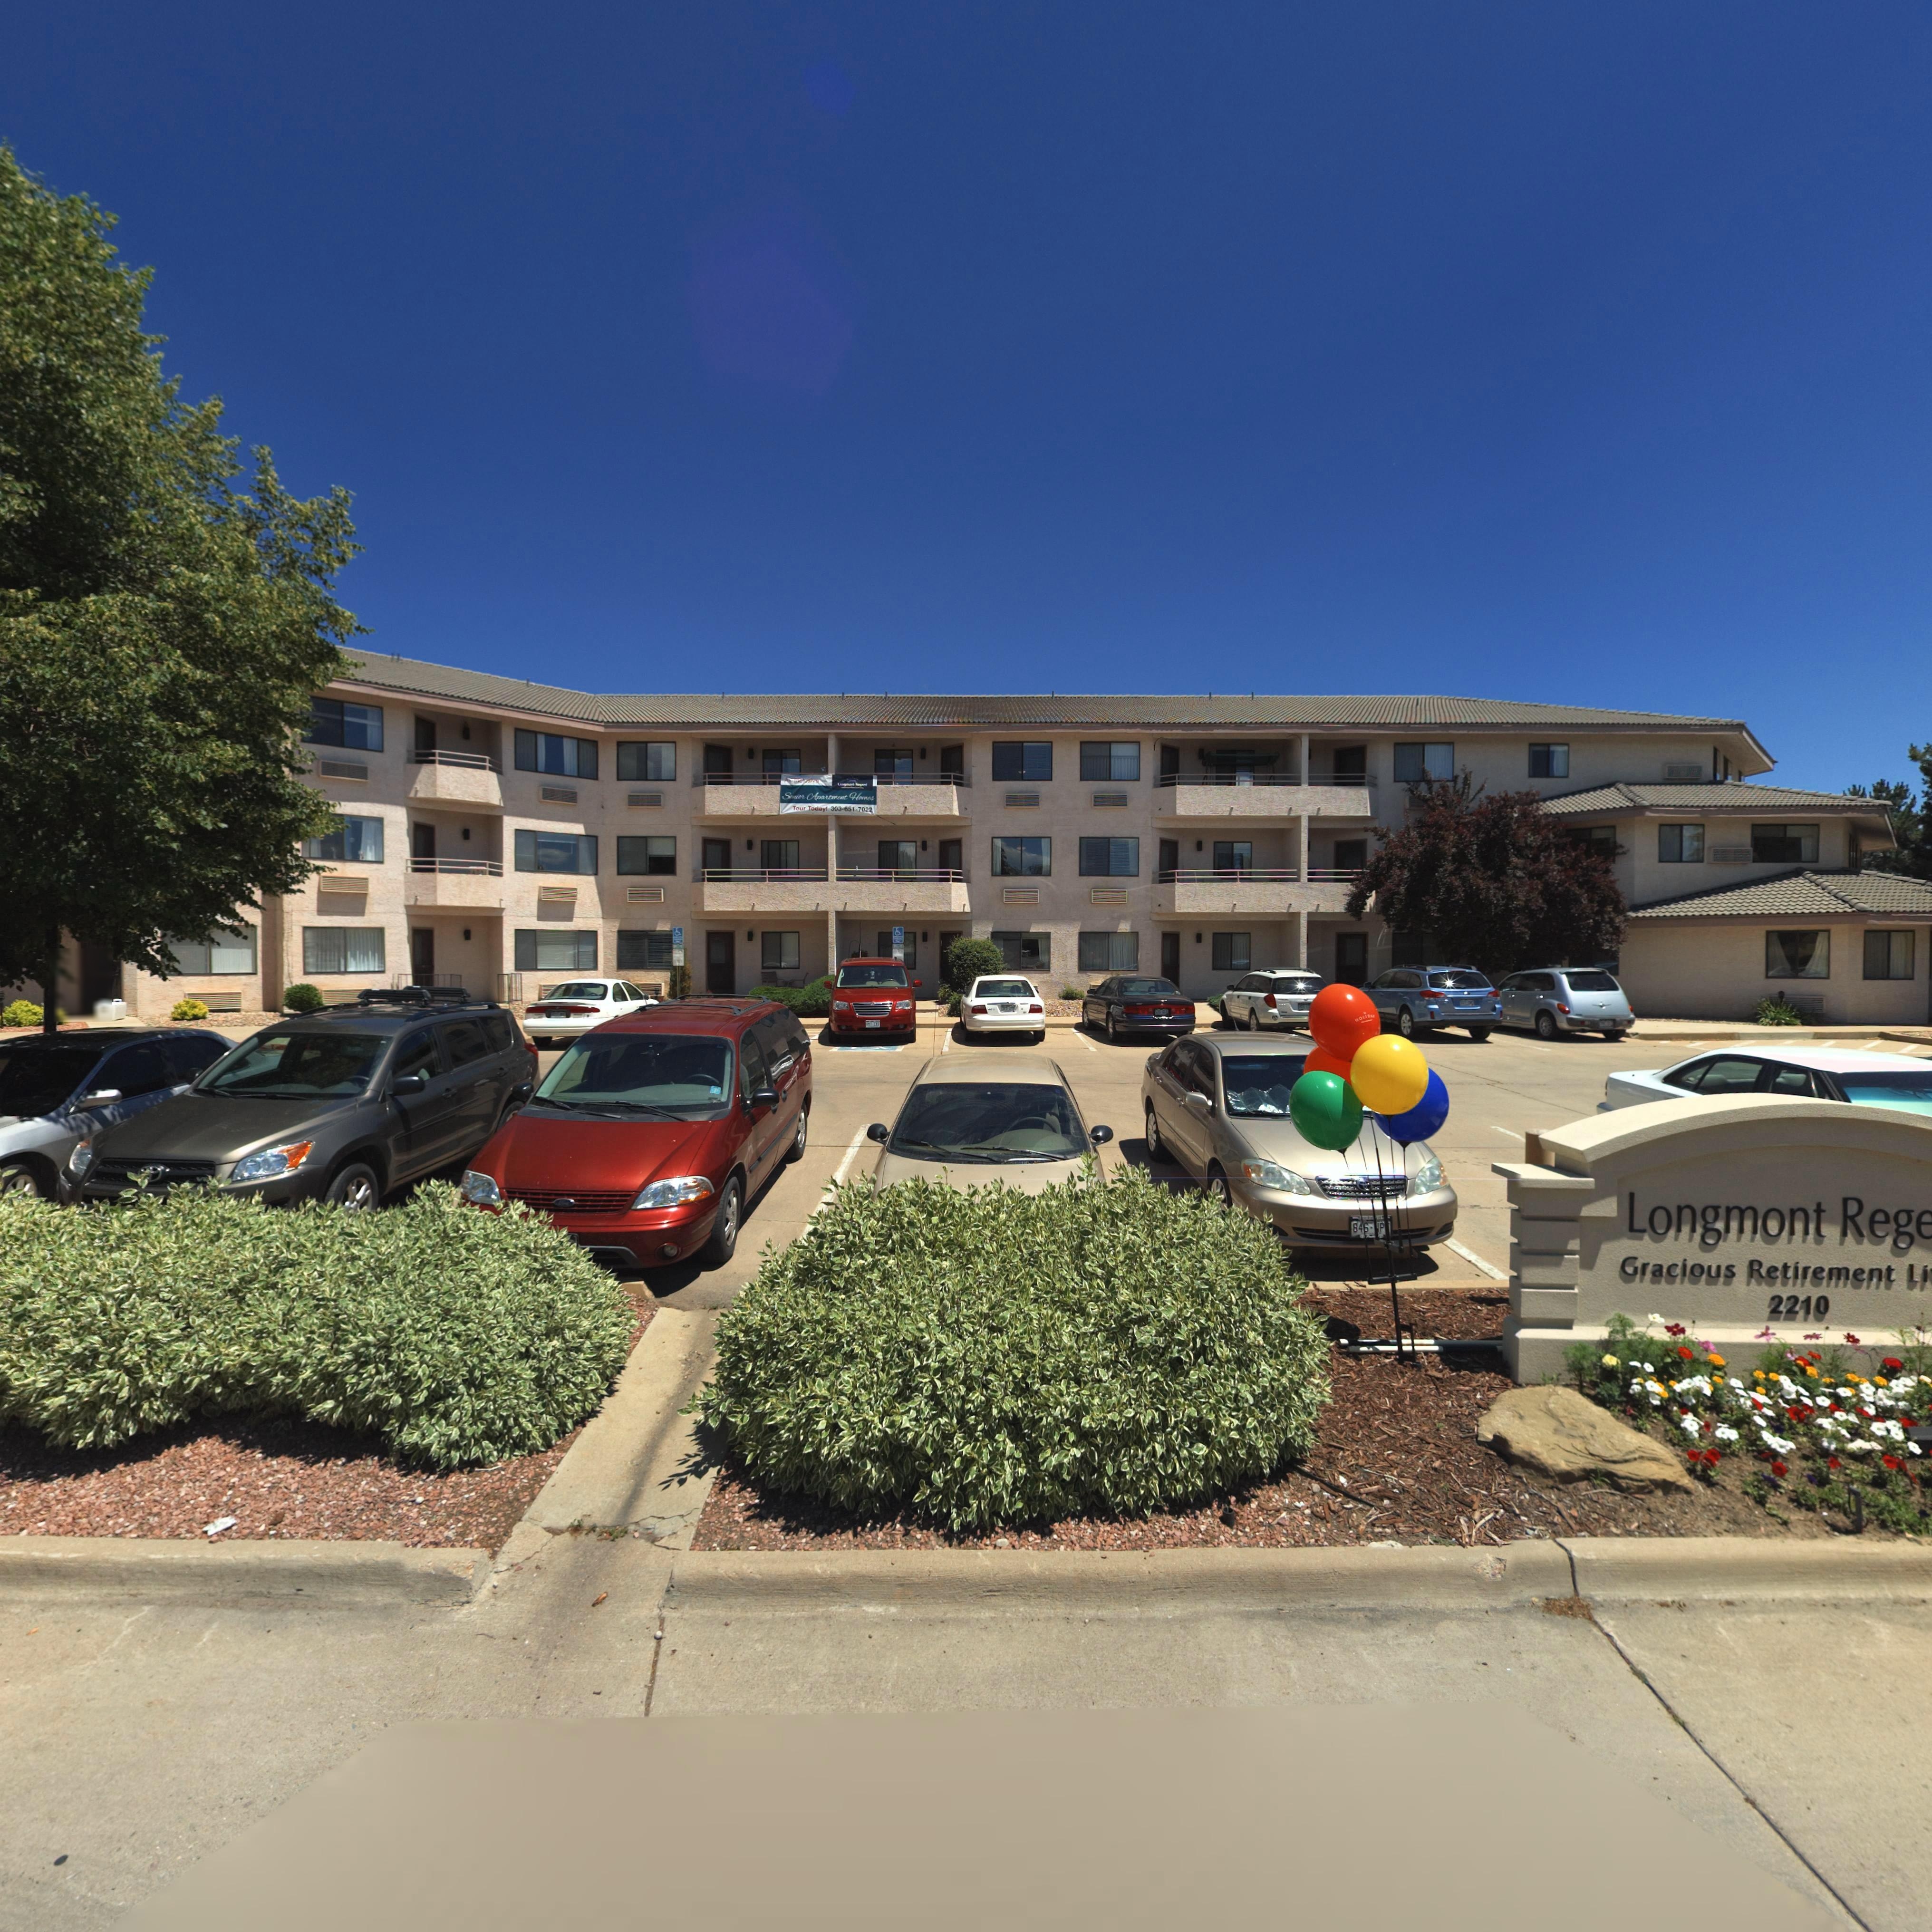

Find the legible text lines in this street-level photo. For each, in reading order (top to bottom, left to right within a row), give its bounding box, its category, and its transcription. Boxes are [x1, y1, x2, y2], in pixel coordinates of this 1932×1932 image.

[1628, 1191, 1920, 1254] BusinessName: Longmont Reg
[1620, 1255, 1928, 1283] BusinessName: Gracious Retirement Li
[1768, 1293, 1832, 1316] StreetNumber: 2210